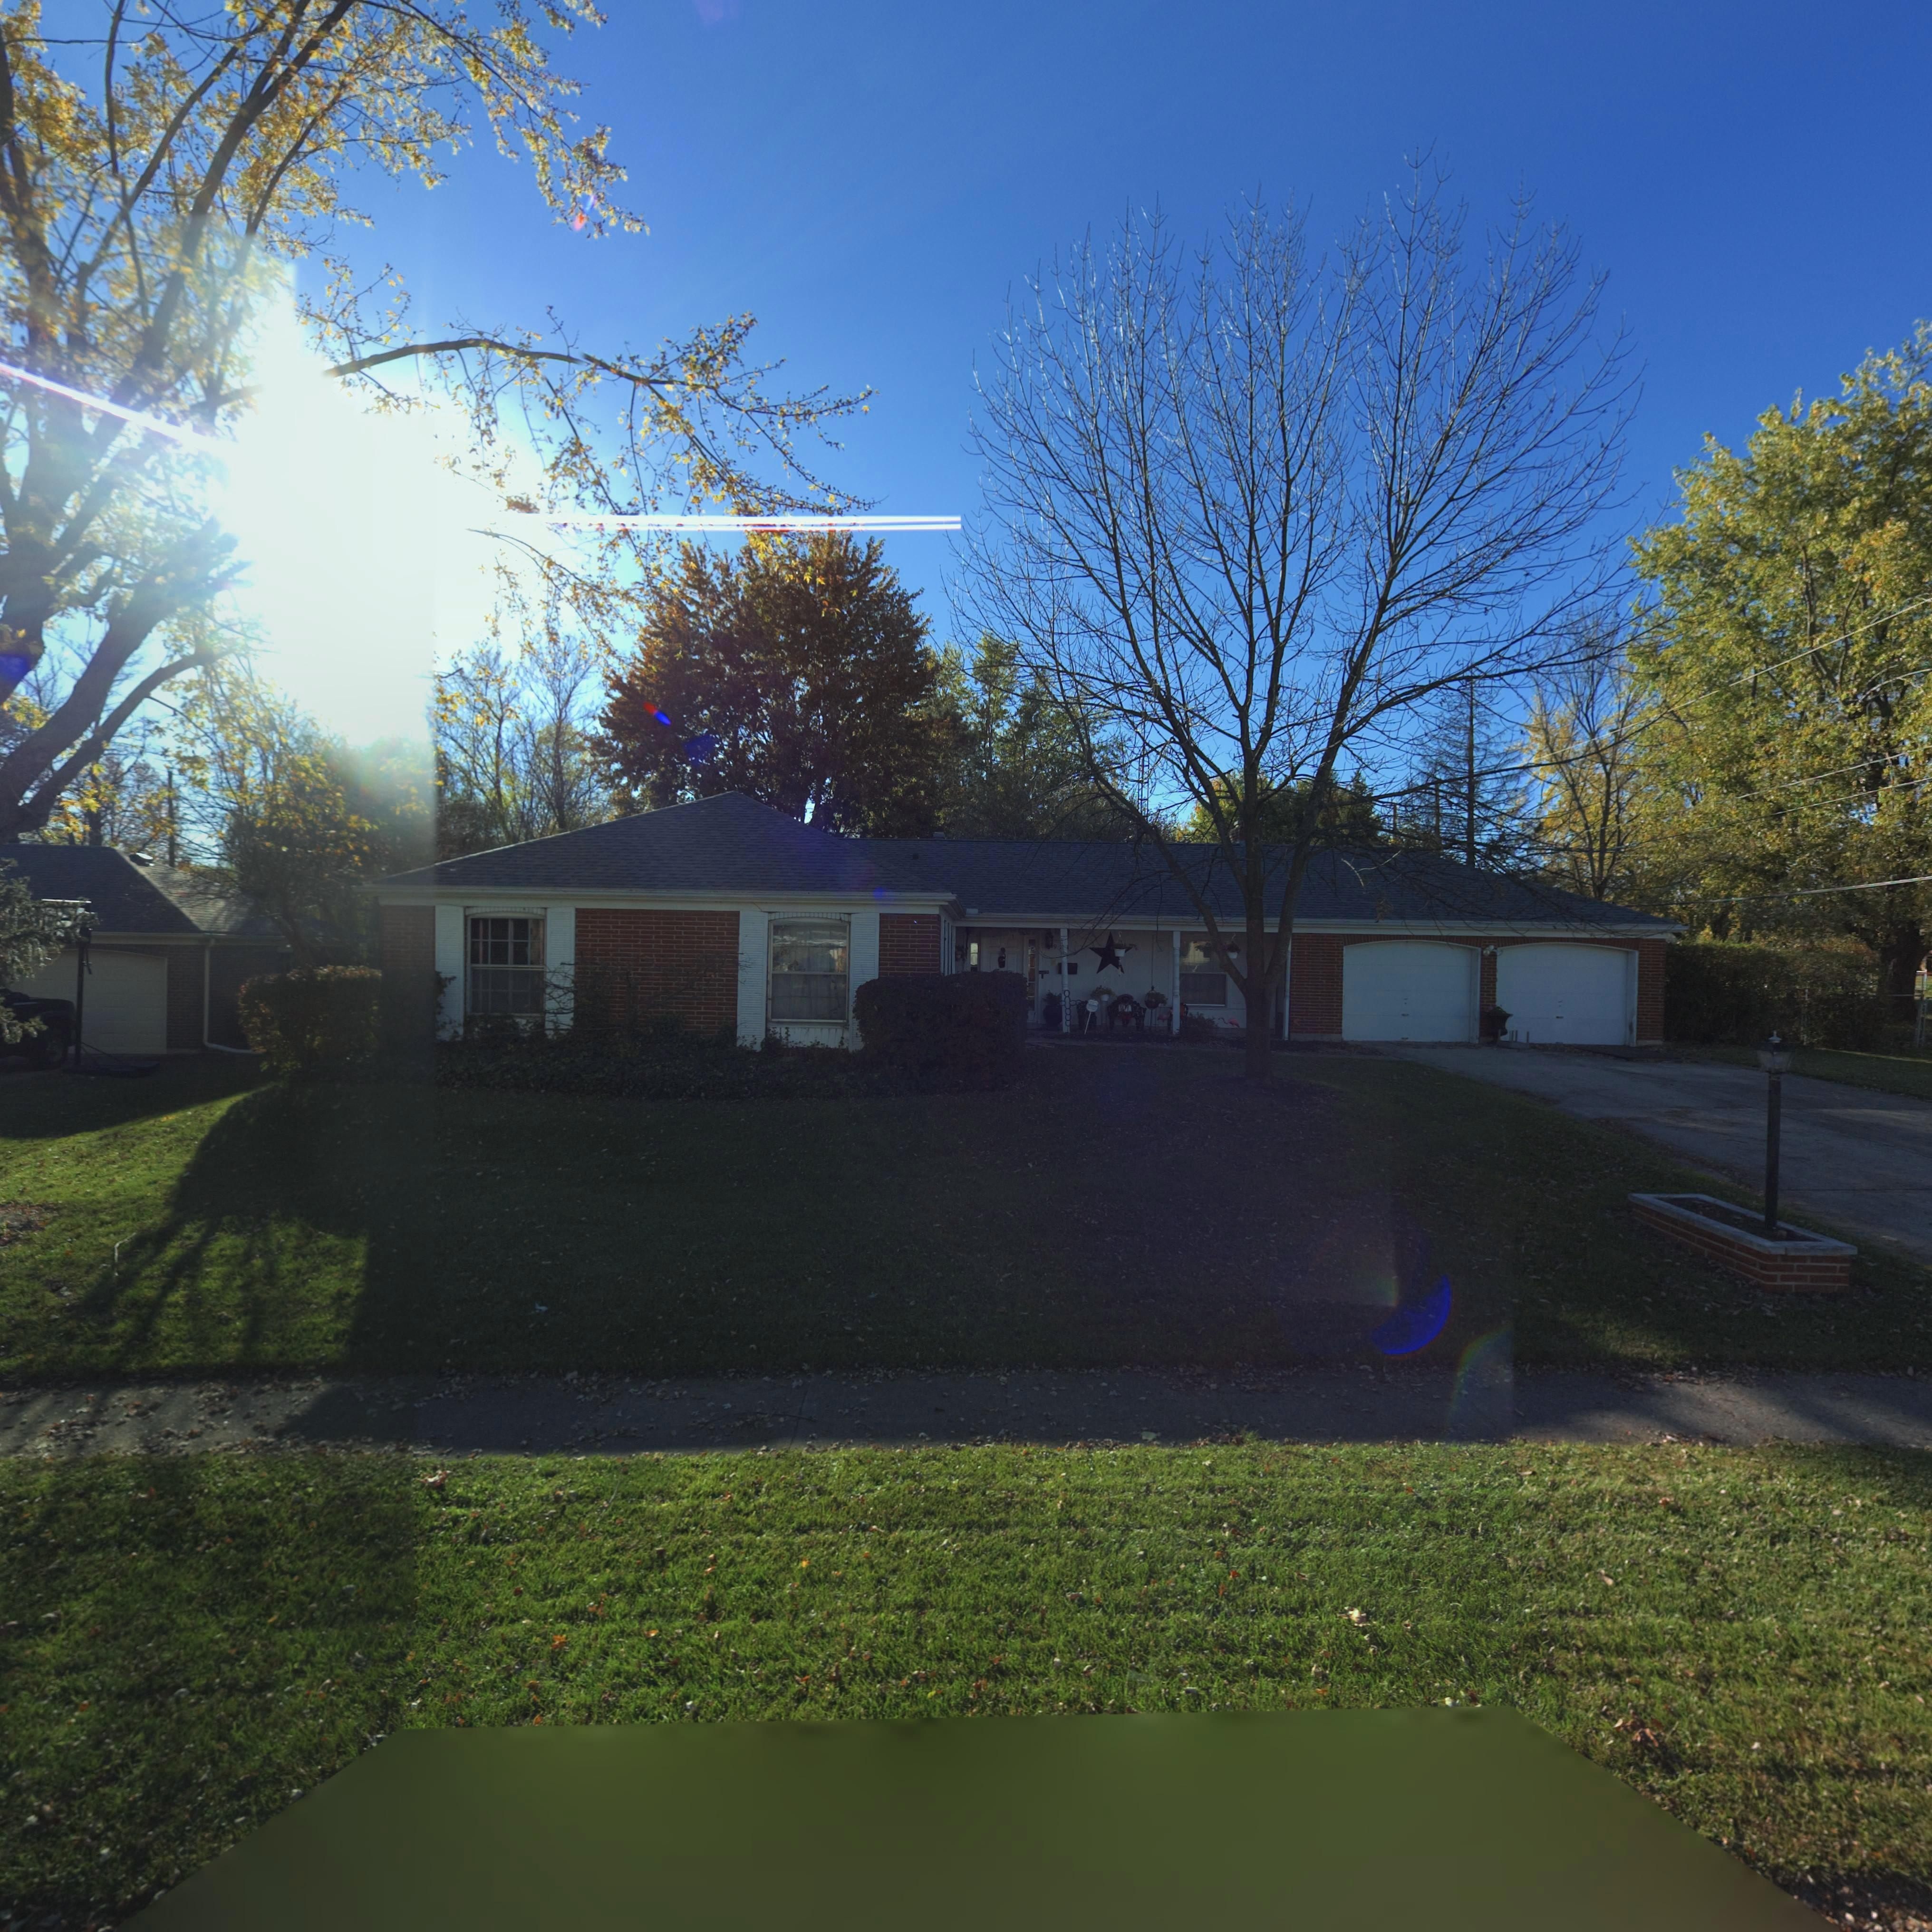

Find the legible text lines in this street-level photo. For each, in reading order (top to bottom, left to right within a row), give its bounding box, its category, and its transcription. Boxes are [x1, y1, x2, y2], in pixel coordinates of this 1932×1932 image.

[1053, 944, 1057, 949] StreetNumber: 9